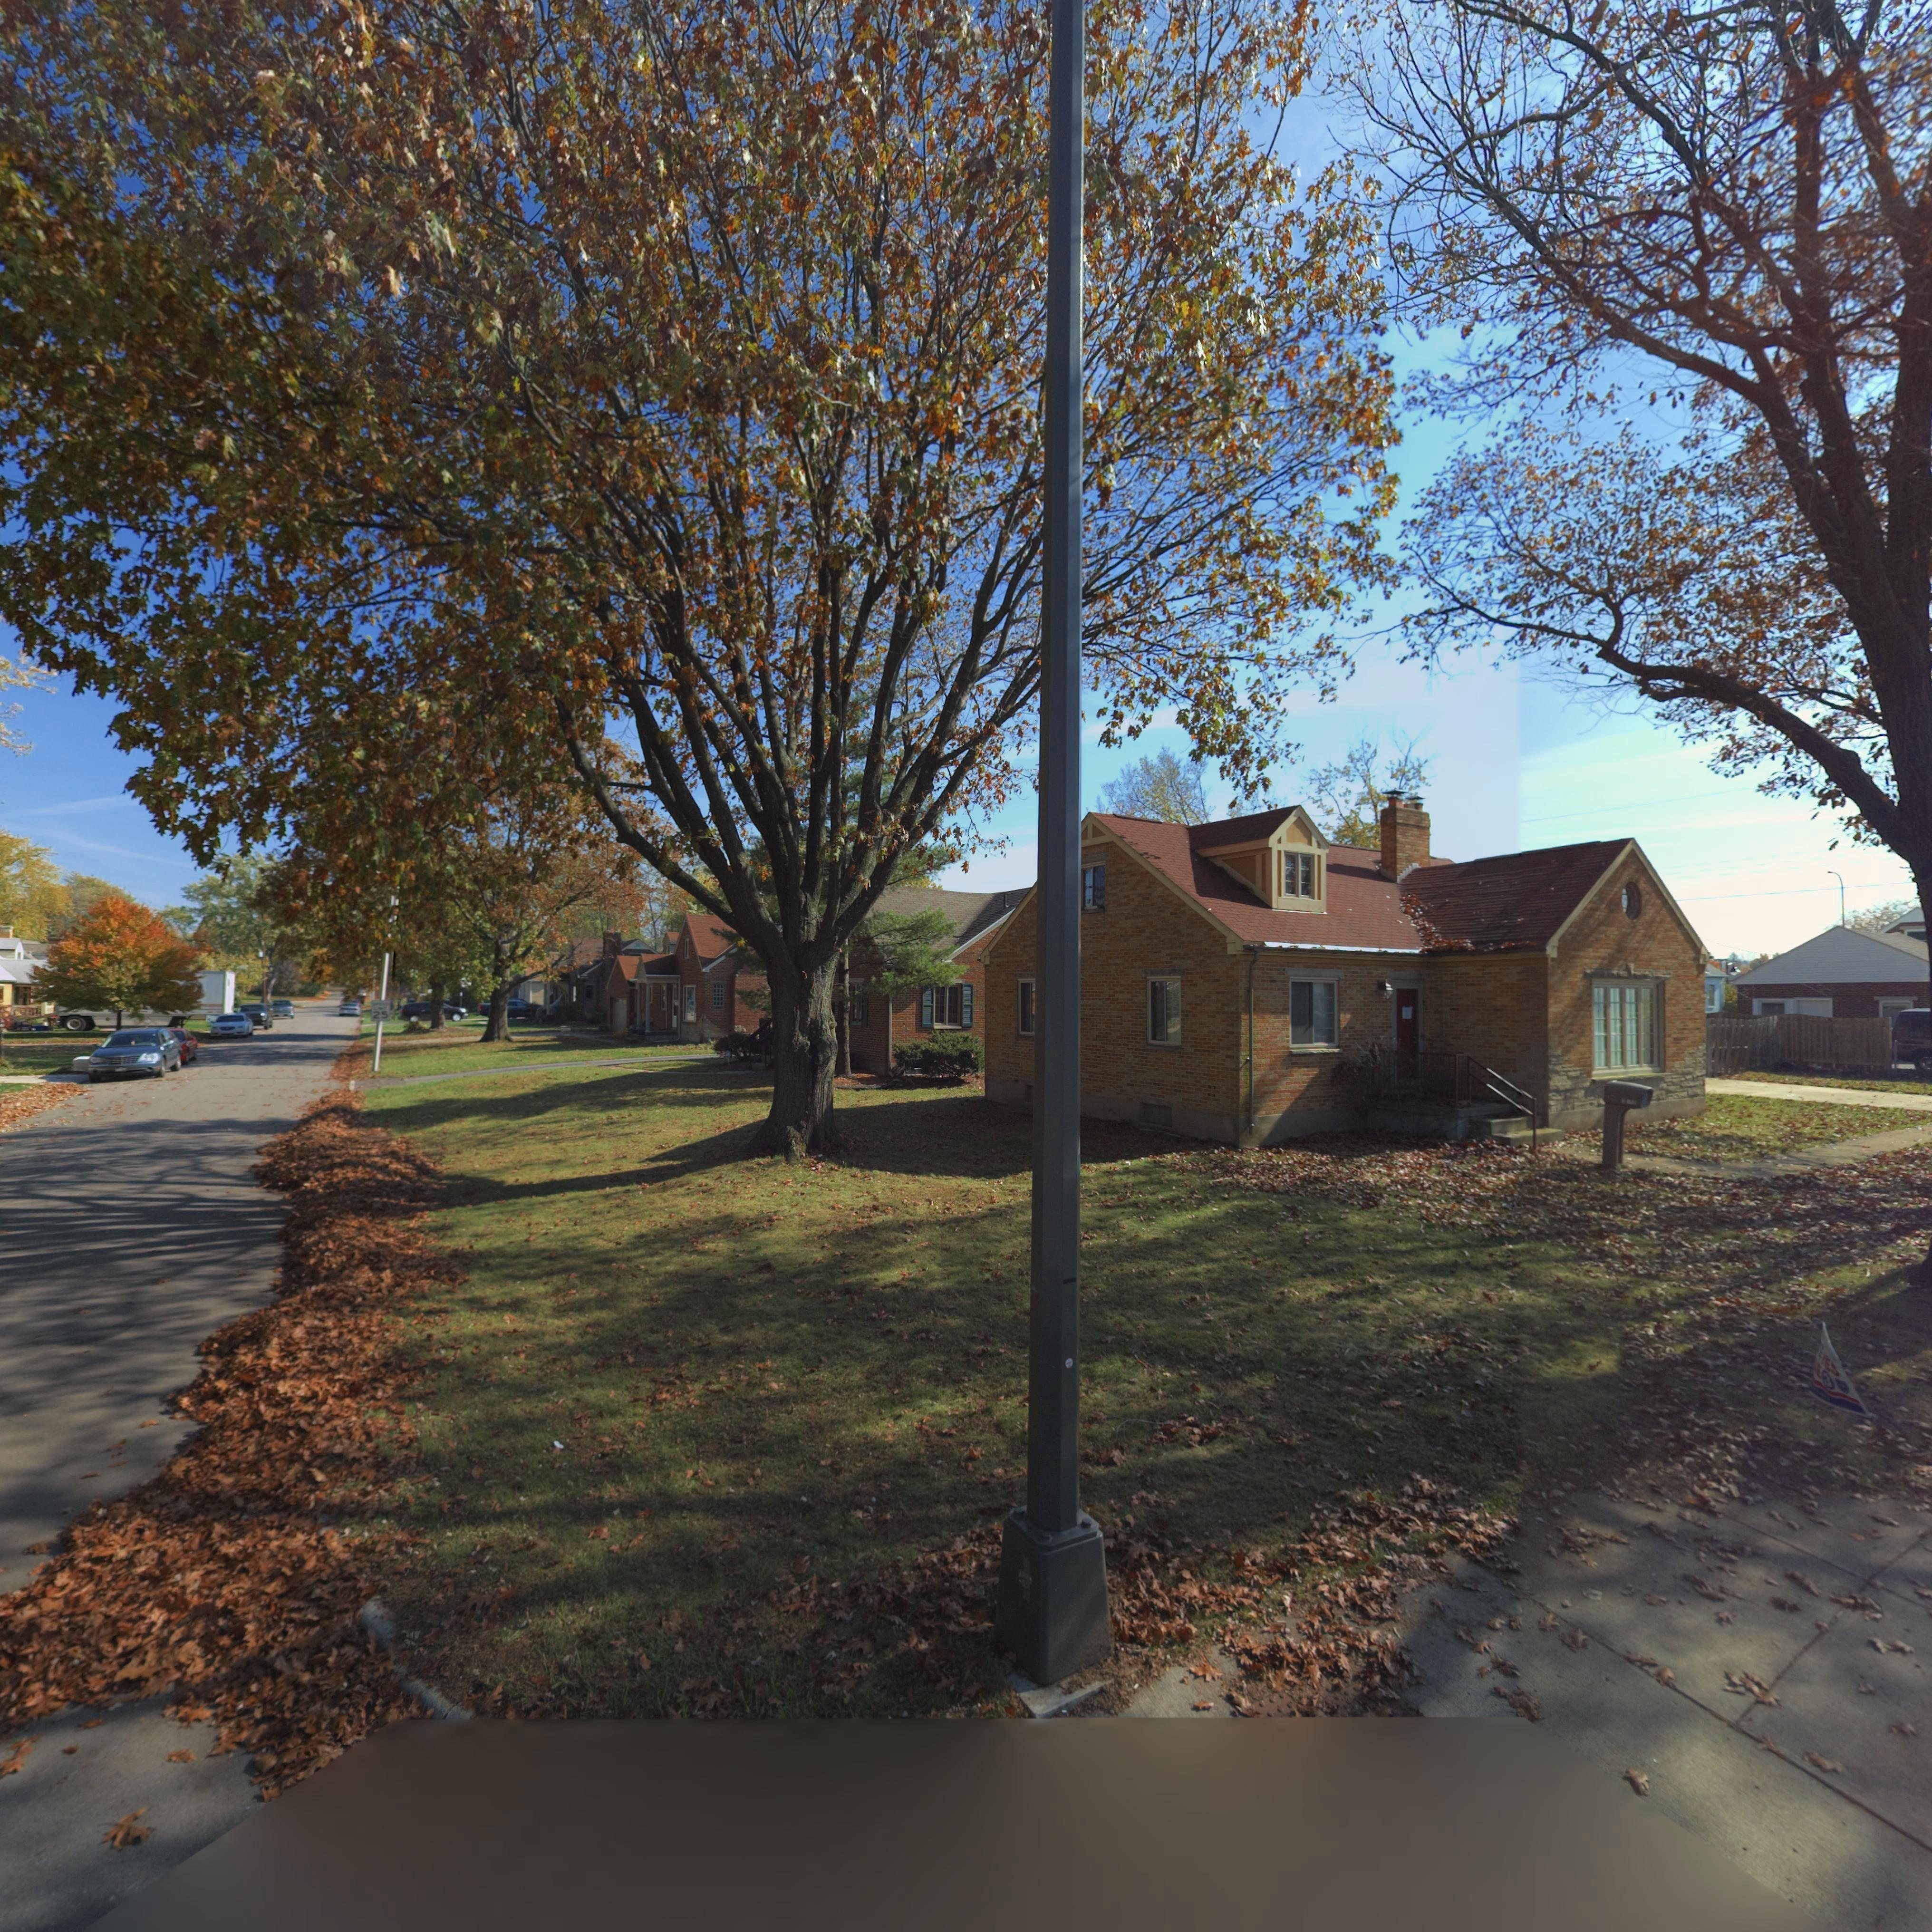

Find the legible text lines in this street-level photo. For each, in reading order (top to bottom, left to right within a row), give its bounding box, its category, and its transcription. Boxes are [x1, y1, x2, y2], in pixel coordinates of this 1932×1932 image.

[372, 1010, 389, 1019] None: 25